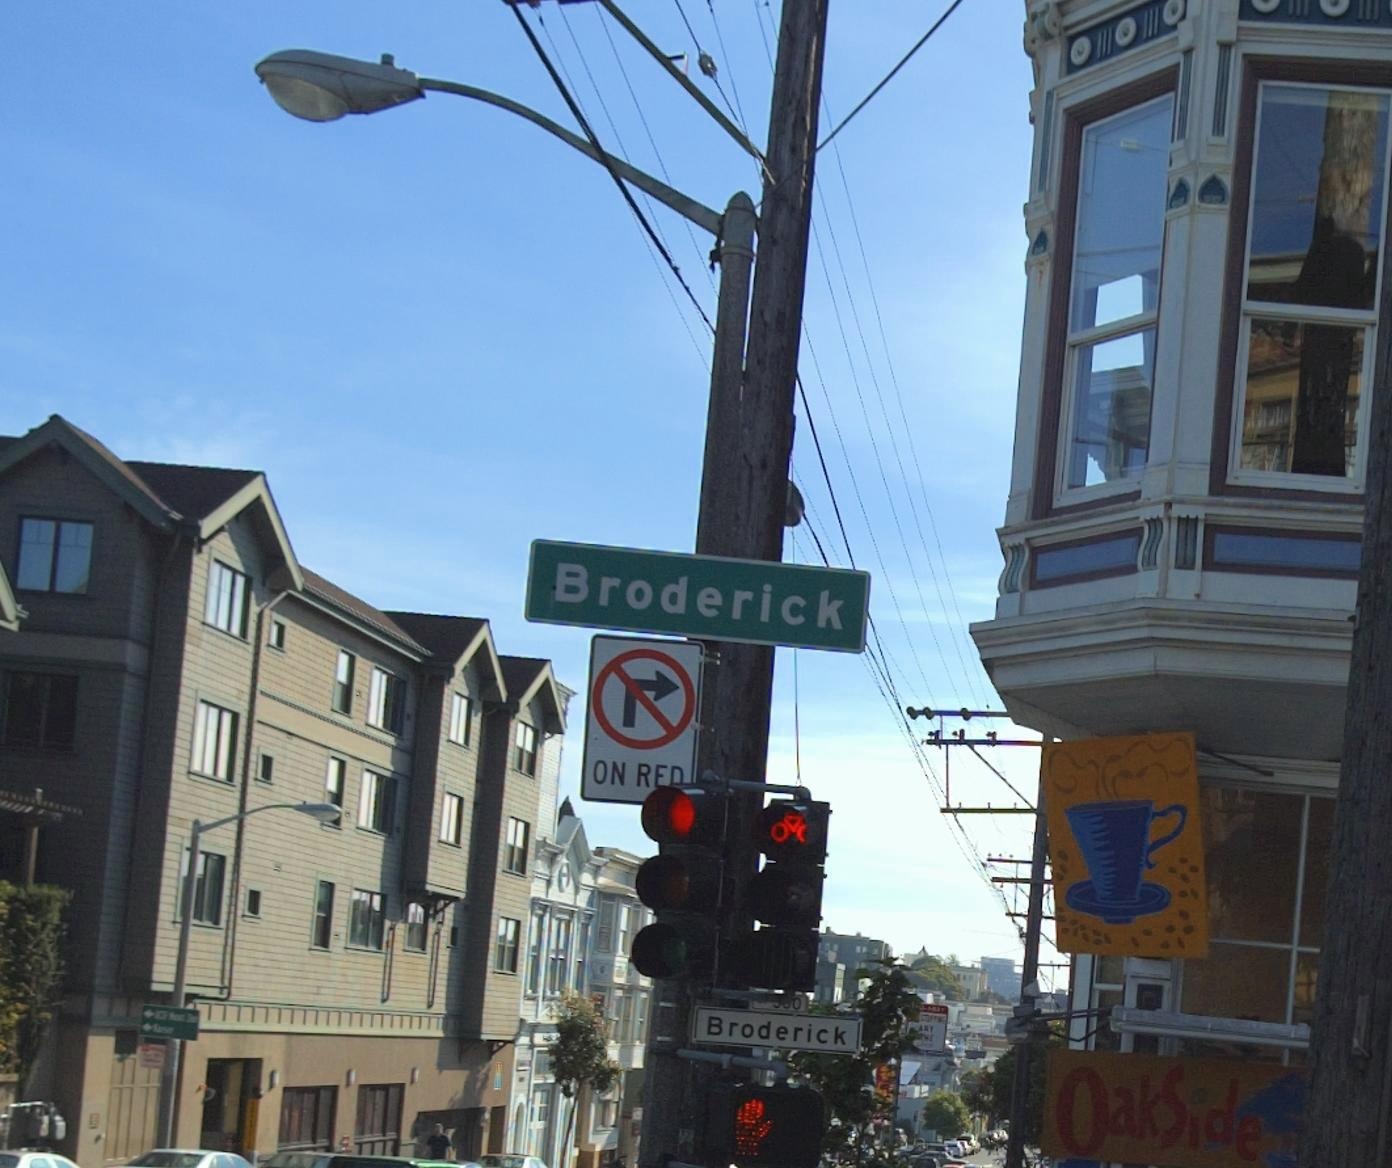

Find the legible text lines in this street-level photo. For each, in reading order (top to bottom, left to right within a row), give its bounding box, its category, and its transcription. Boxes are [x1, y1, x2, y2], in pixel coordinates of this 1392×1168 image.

[554, 554, 850, 633] StreetName: Broderick
[589, 757, 686, 793] None: ON RE*
[705, 1010, 849, 1049] StreetName: Broderick
[771, 991, 807, 1012] StreetNumberRange: **0
[916, 1023, 938, 1035] None: ANY
[921, 1010, 947, 1026] None: STOPPING
[1055, 1062, 1274, 1166] BusinessName: OakSide